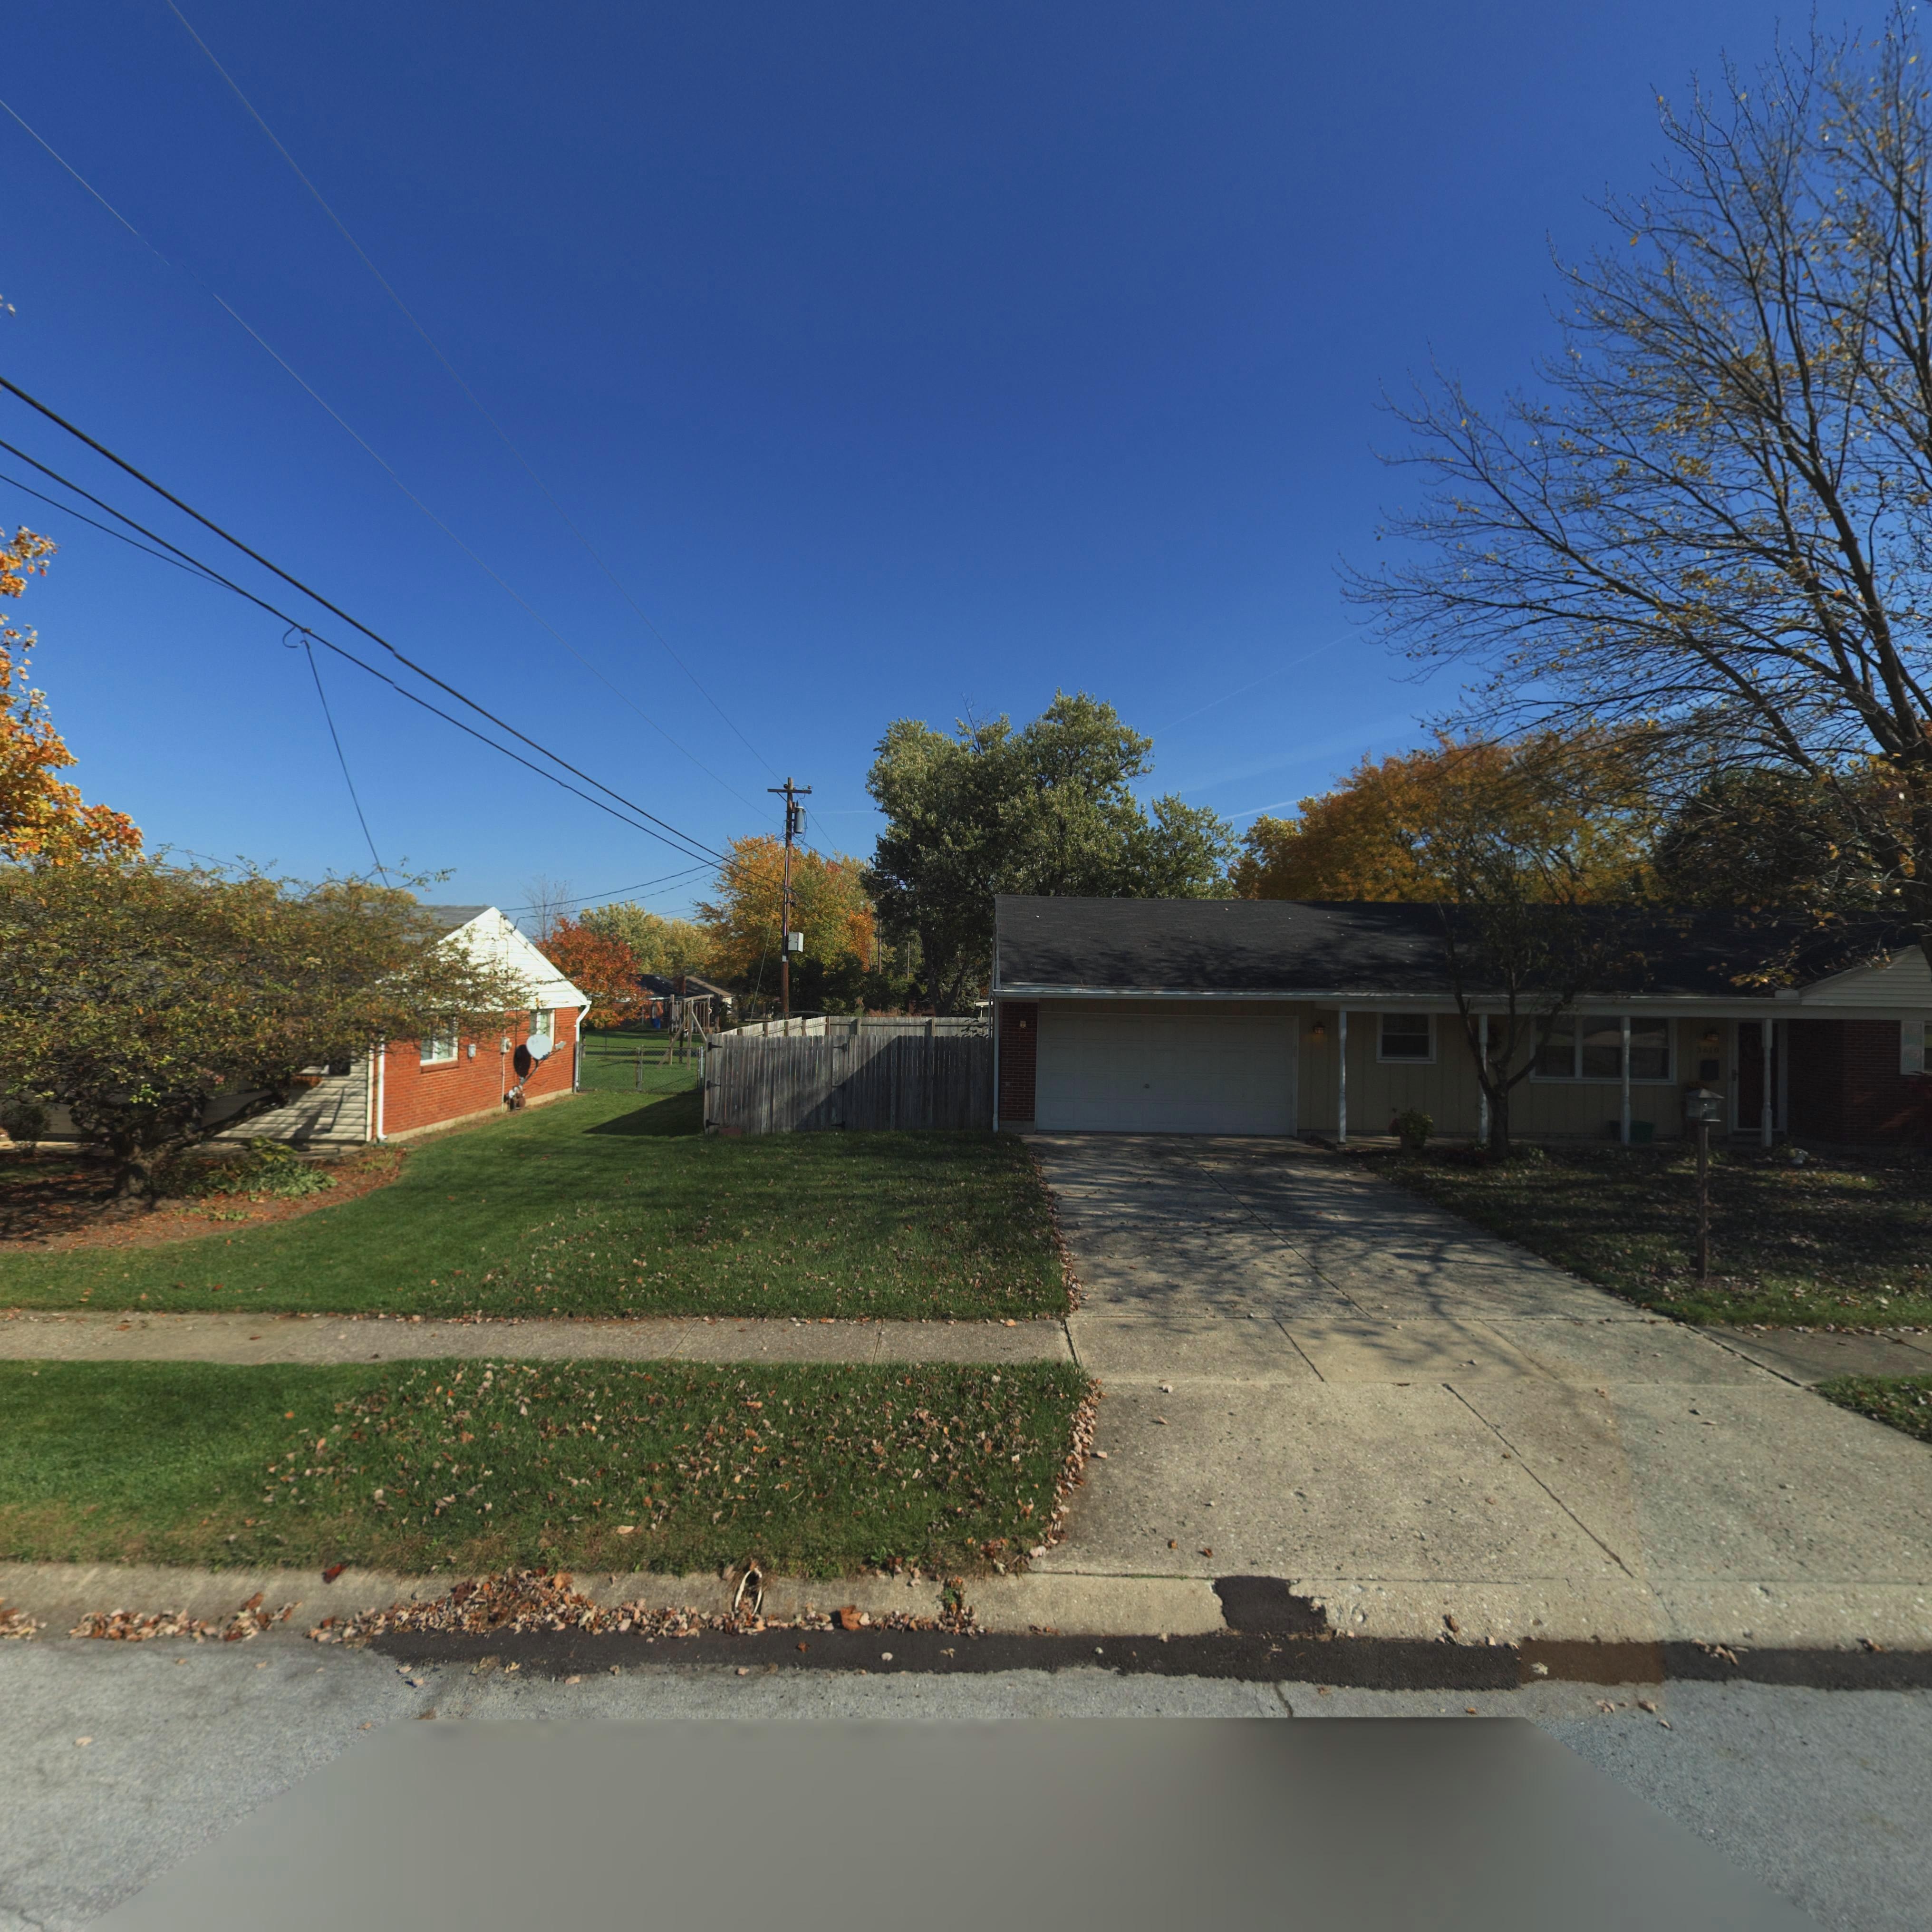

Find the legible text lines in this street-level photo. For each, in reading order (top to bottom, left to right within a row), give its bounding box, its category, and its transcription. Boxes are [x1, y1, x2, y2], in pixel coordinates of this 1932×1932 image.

[1695, 1045, 1719, 1053] StreetNumber: 3610